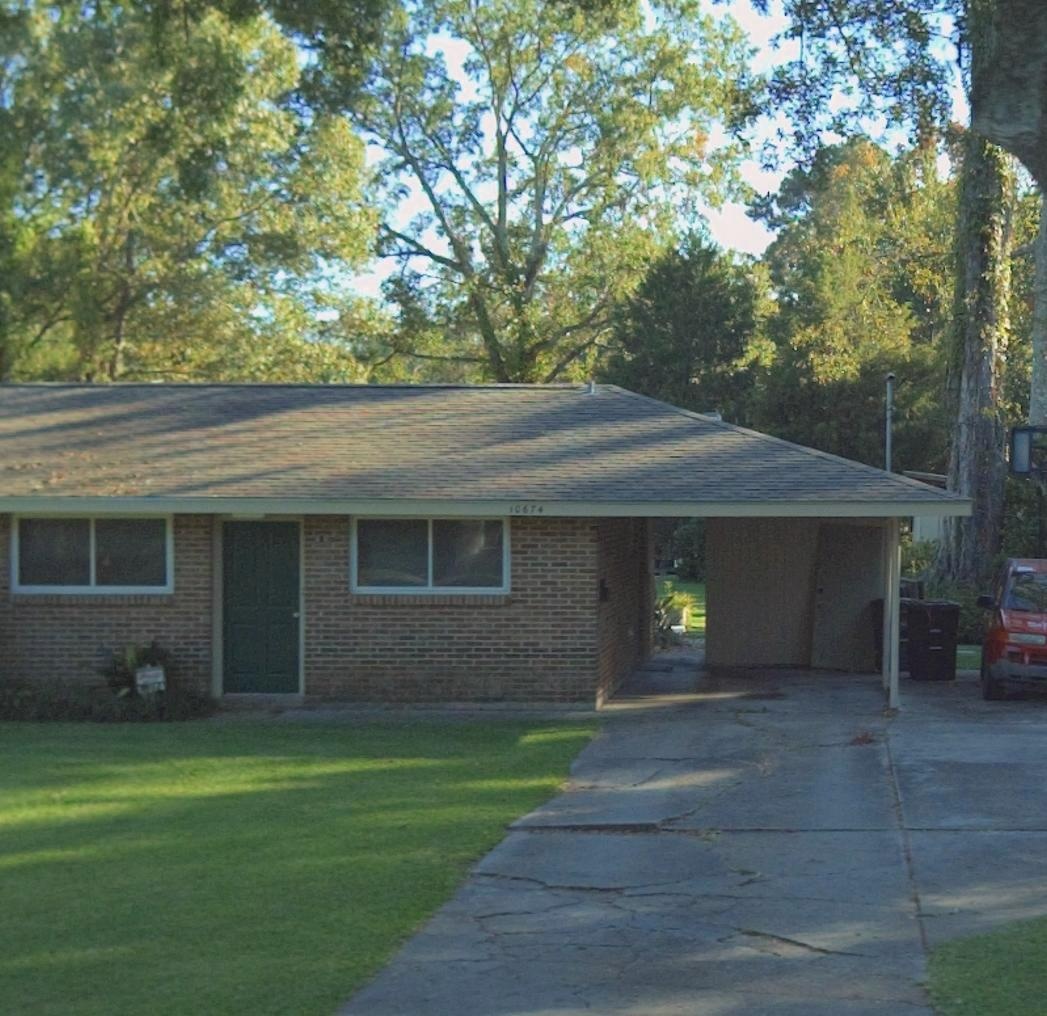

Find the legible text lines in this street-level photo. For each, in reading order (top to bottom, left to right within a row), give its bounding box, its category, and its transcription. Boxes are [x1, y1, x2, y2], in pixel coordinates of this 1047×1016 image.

[508, 504, 546, 515] StreetNumber: 10674